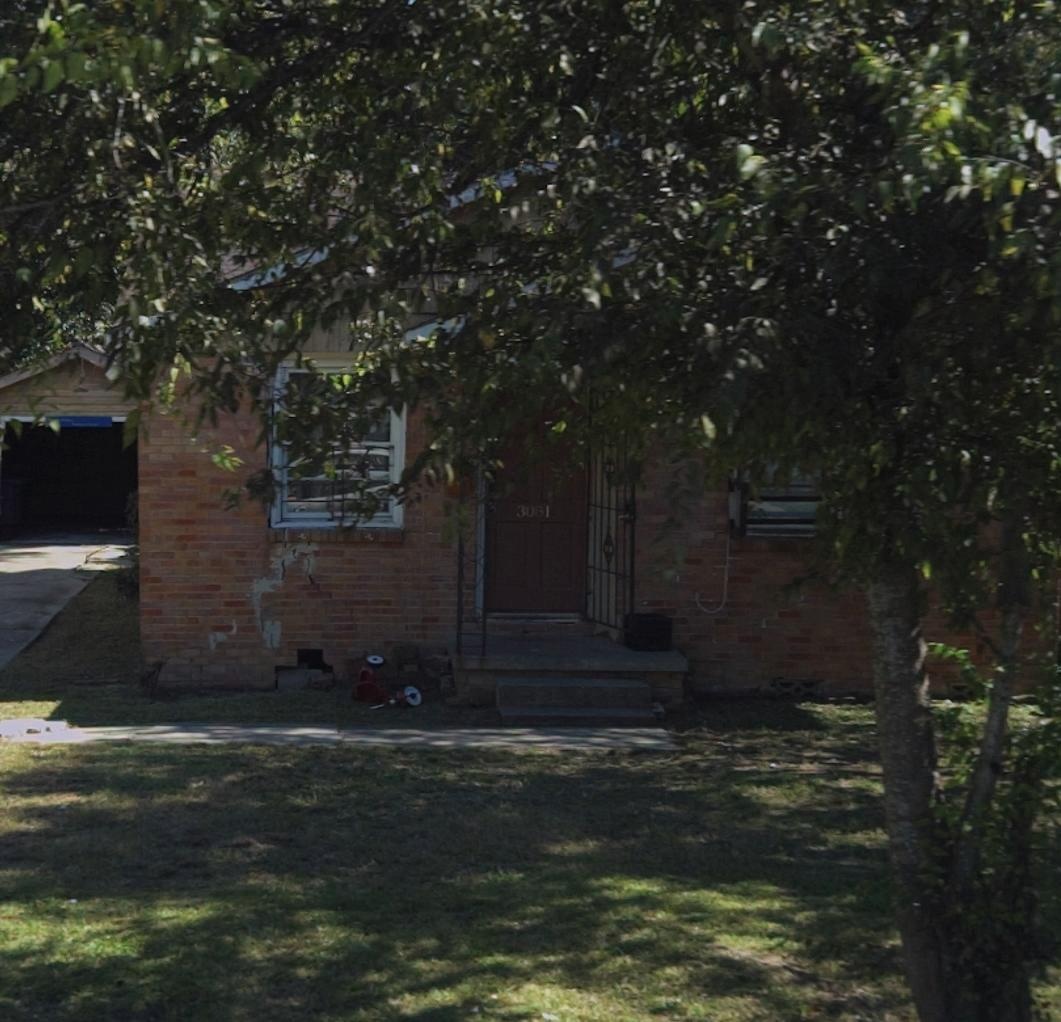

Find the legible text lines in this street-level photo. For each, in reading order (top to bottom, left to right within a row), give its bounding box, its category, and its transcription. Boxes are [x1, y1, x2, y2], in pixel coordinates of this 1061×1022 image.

[515, 504, 551, 519] StreetNumber: 3081